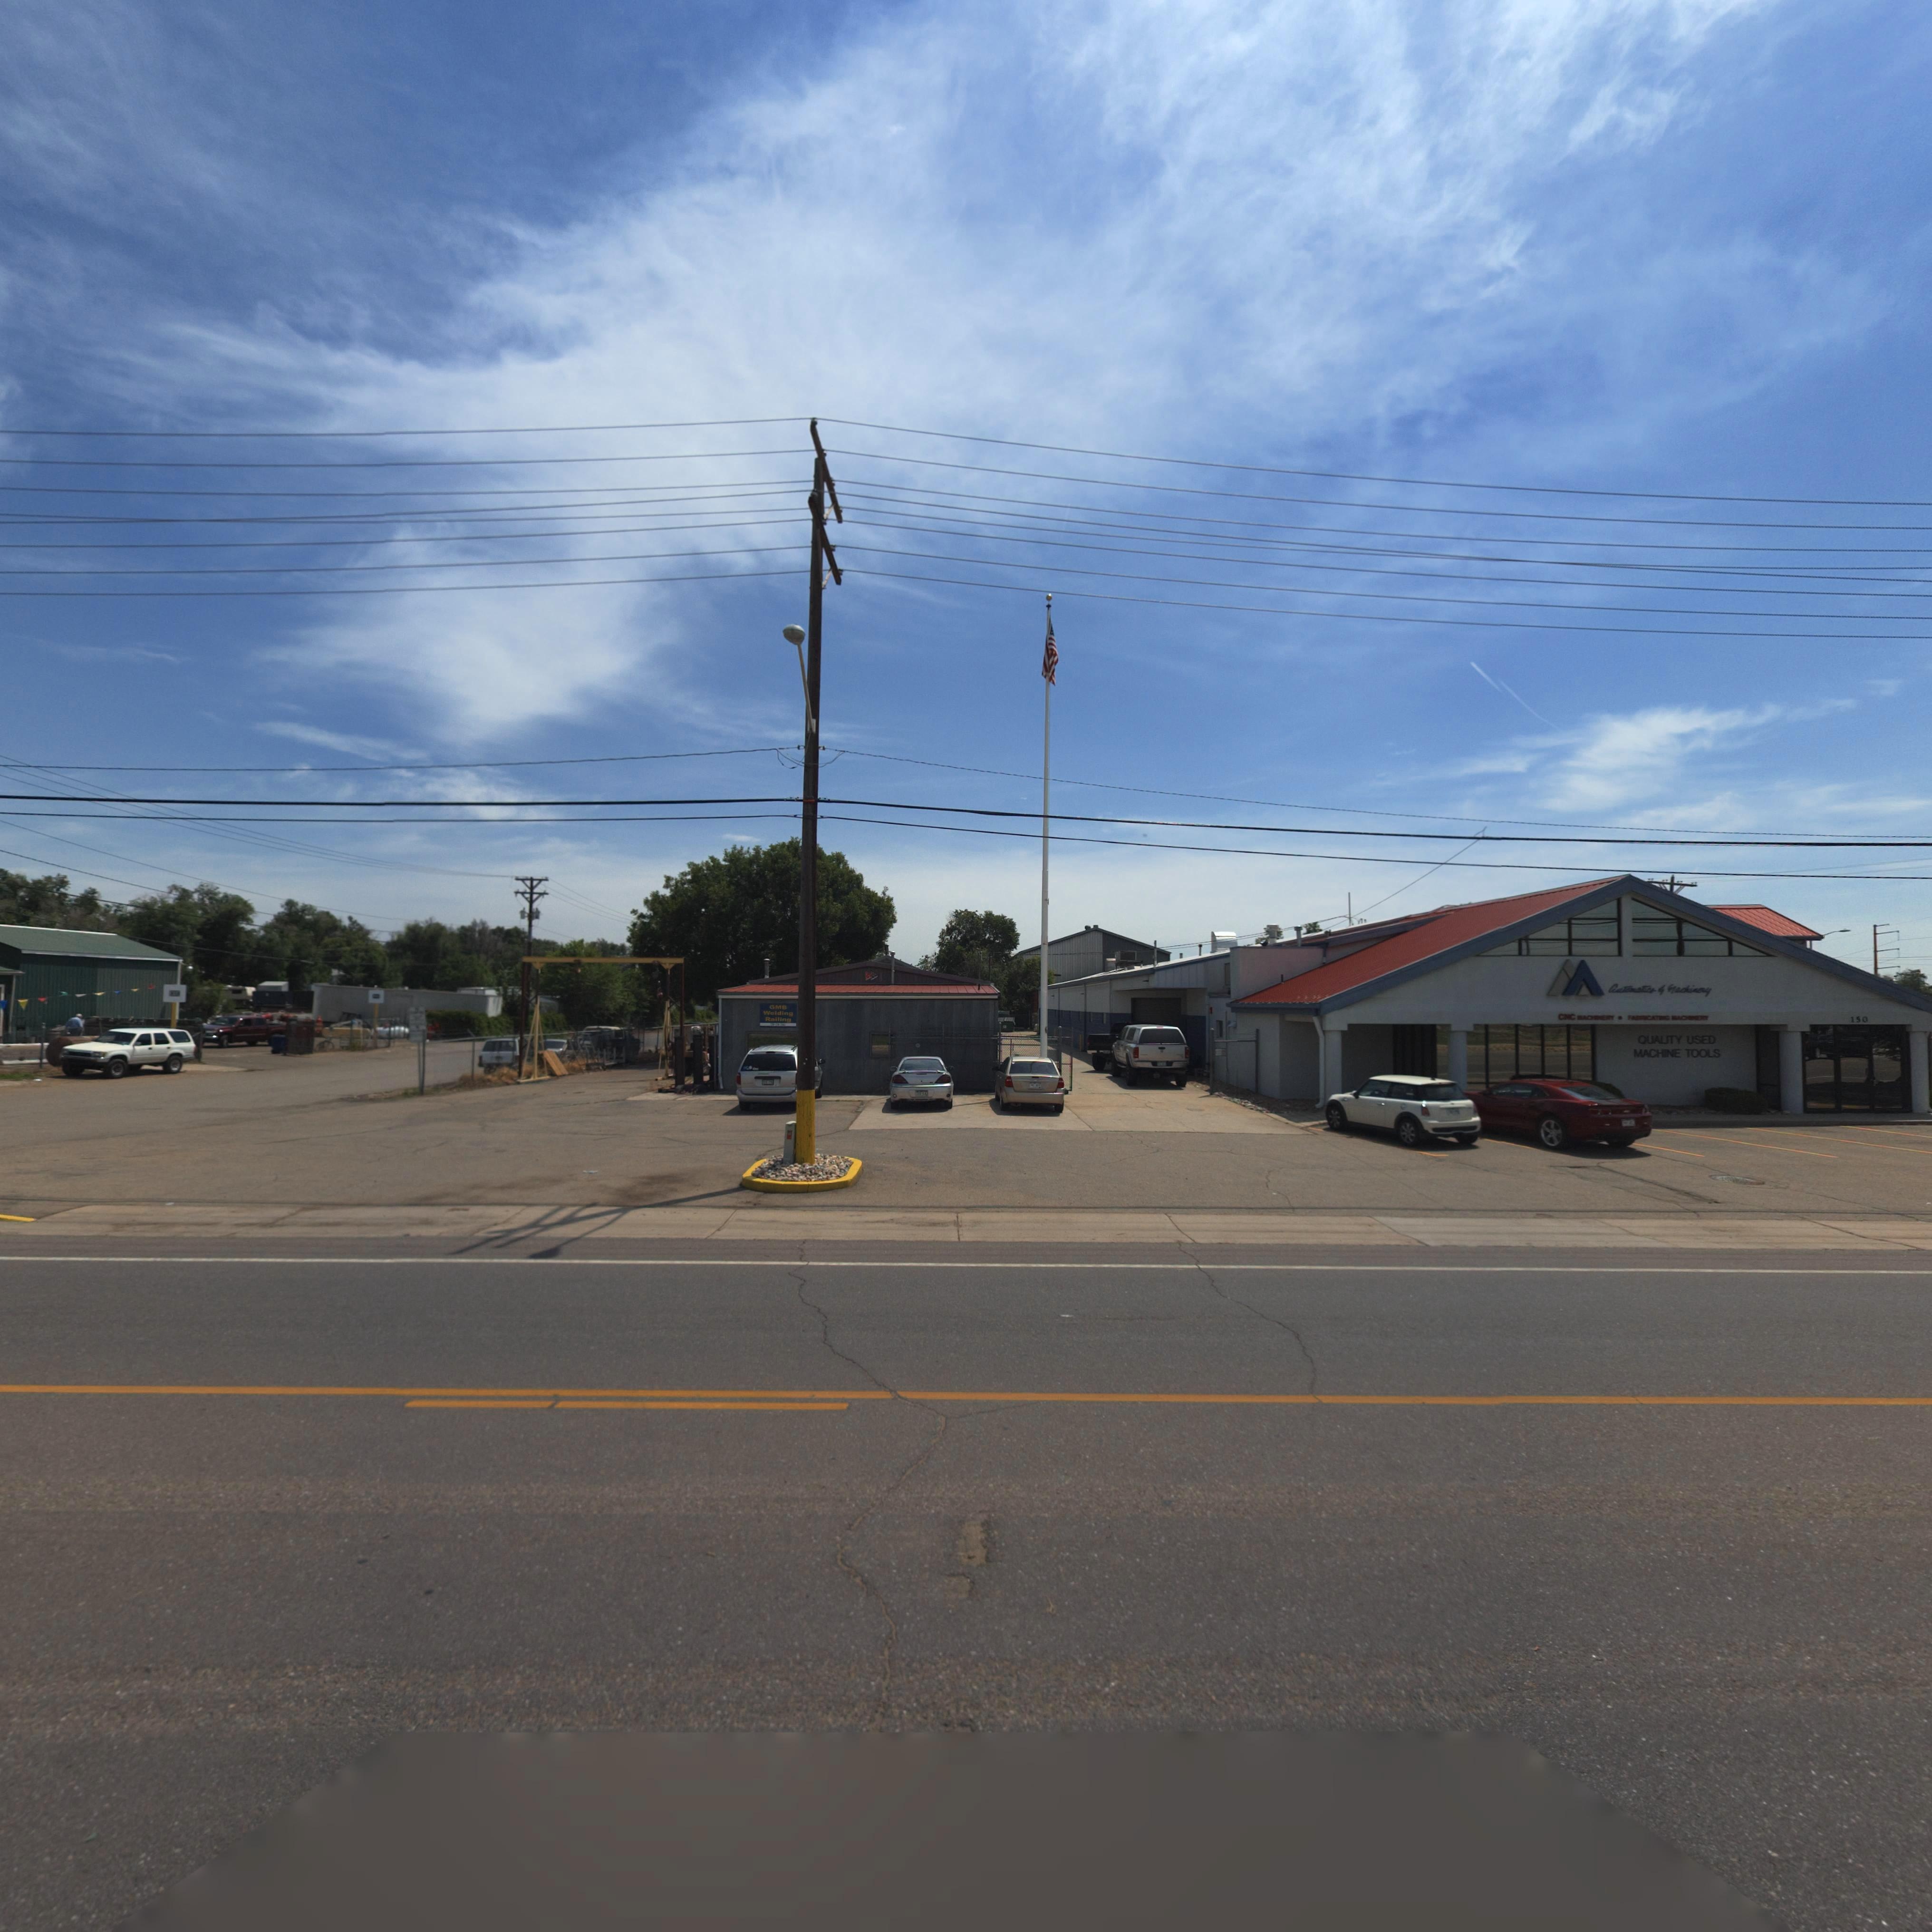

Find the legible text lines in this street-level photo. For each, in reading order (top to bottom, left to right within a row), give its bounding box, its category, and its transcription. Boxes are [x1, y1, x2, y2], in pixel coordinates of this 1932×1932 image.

[1608, 983, 1712, 997] BusinessName: Automatics * Machinery
[769, 1005, 787, 1010] BusinessName: GMB
[763, 1010, 793, 1016] BusinessName: Welding
[765, 1016, 791, 1023] BusinessName: Railing
[1851, 1015, 1868, 1023] StreetNumber: 150